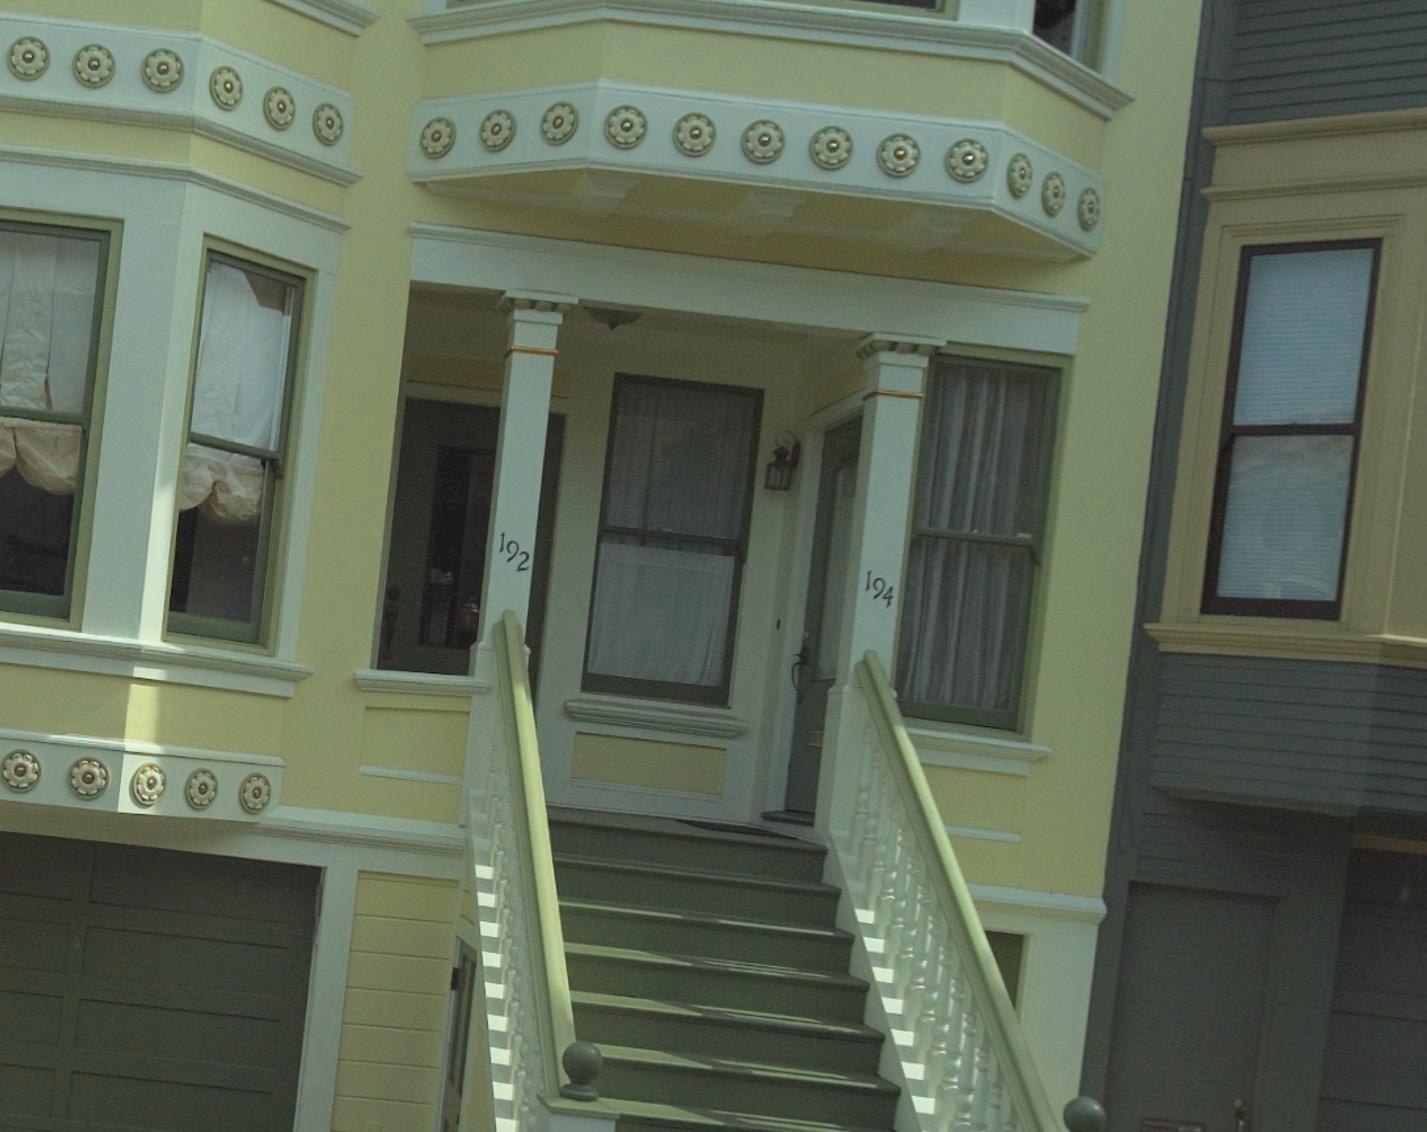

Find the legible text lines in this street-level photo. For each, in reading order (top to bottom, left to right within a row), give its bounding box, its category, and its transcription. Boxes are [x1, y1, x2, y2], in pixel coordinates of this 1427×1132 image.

[496, 529, 533, 575] StreetNumber: 192
[861, 565, 896, 612] StreetNumber: 194